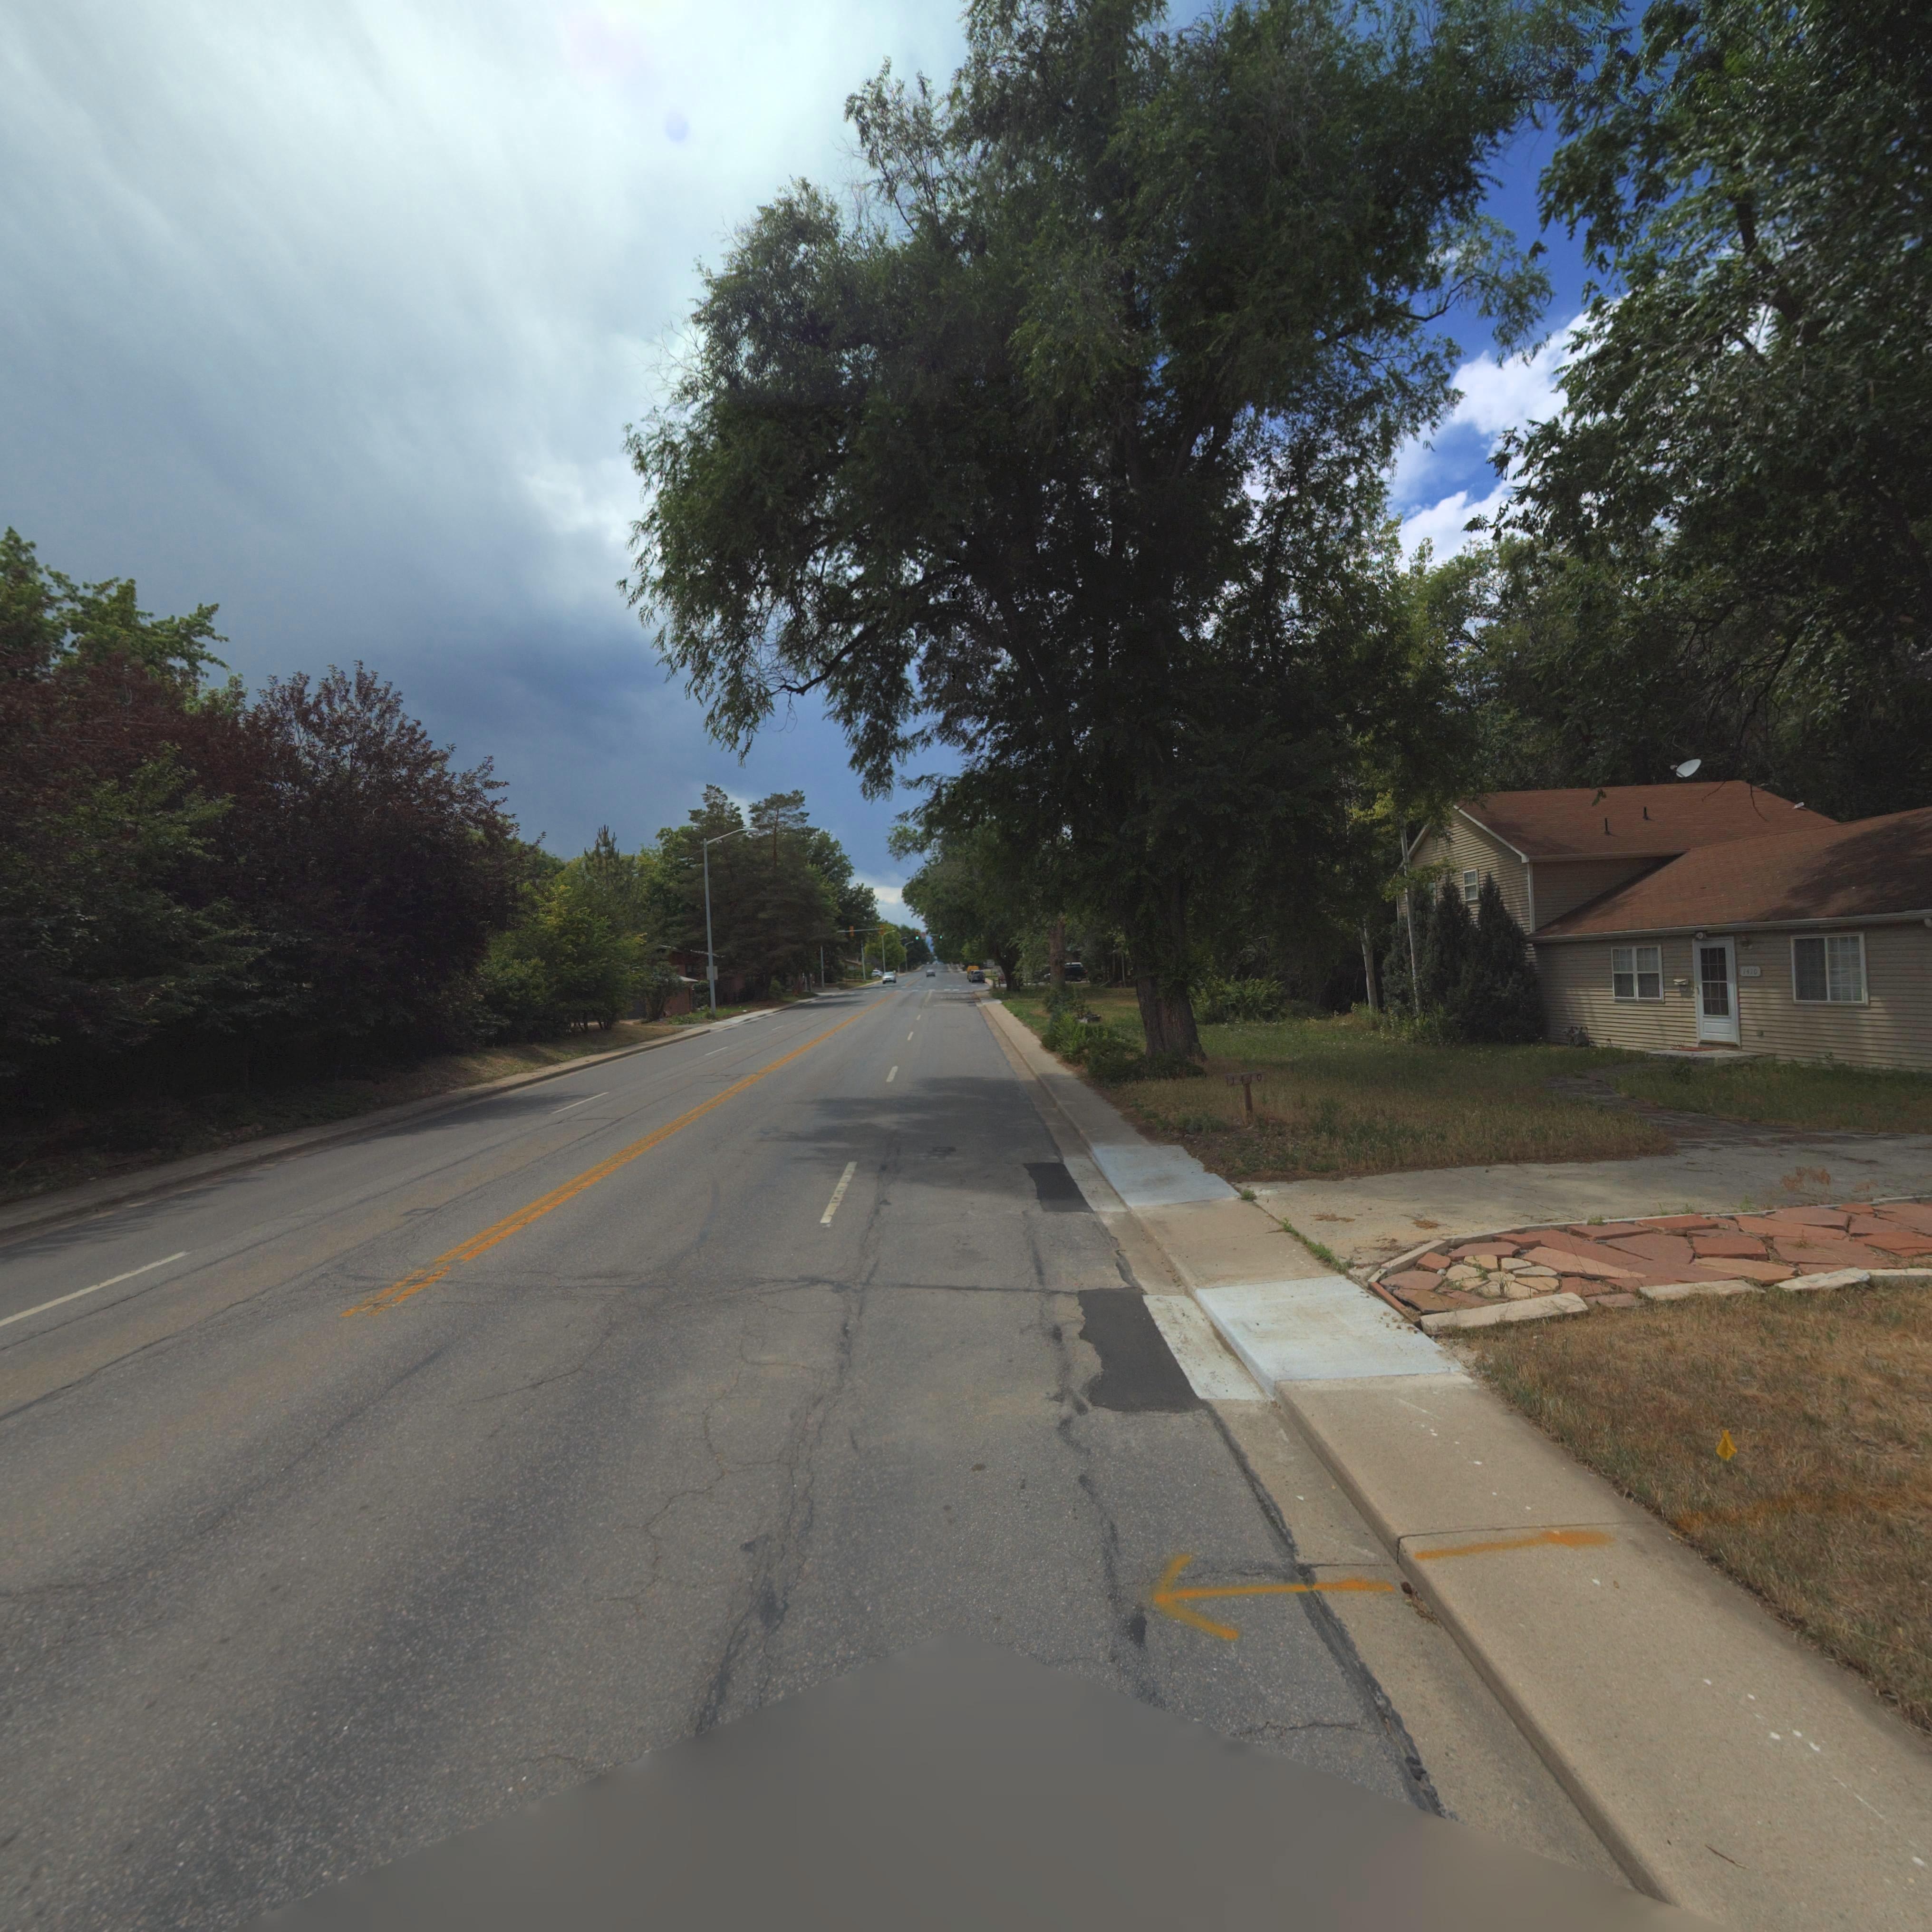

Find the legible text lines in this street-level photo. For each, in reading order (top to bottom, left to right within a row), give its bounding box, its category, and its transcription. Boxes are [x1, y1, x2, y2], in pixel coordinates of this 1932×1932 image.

[1743, 968, 1758, 975] StreetNumber: 1410
[1231, 1072, 1263, 1085] StreetNumber: 1410